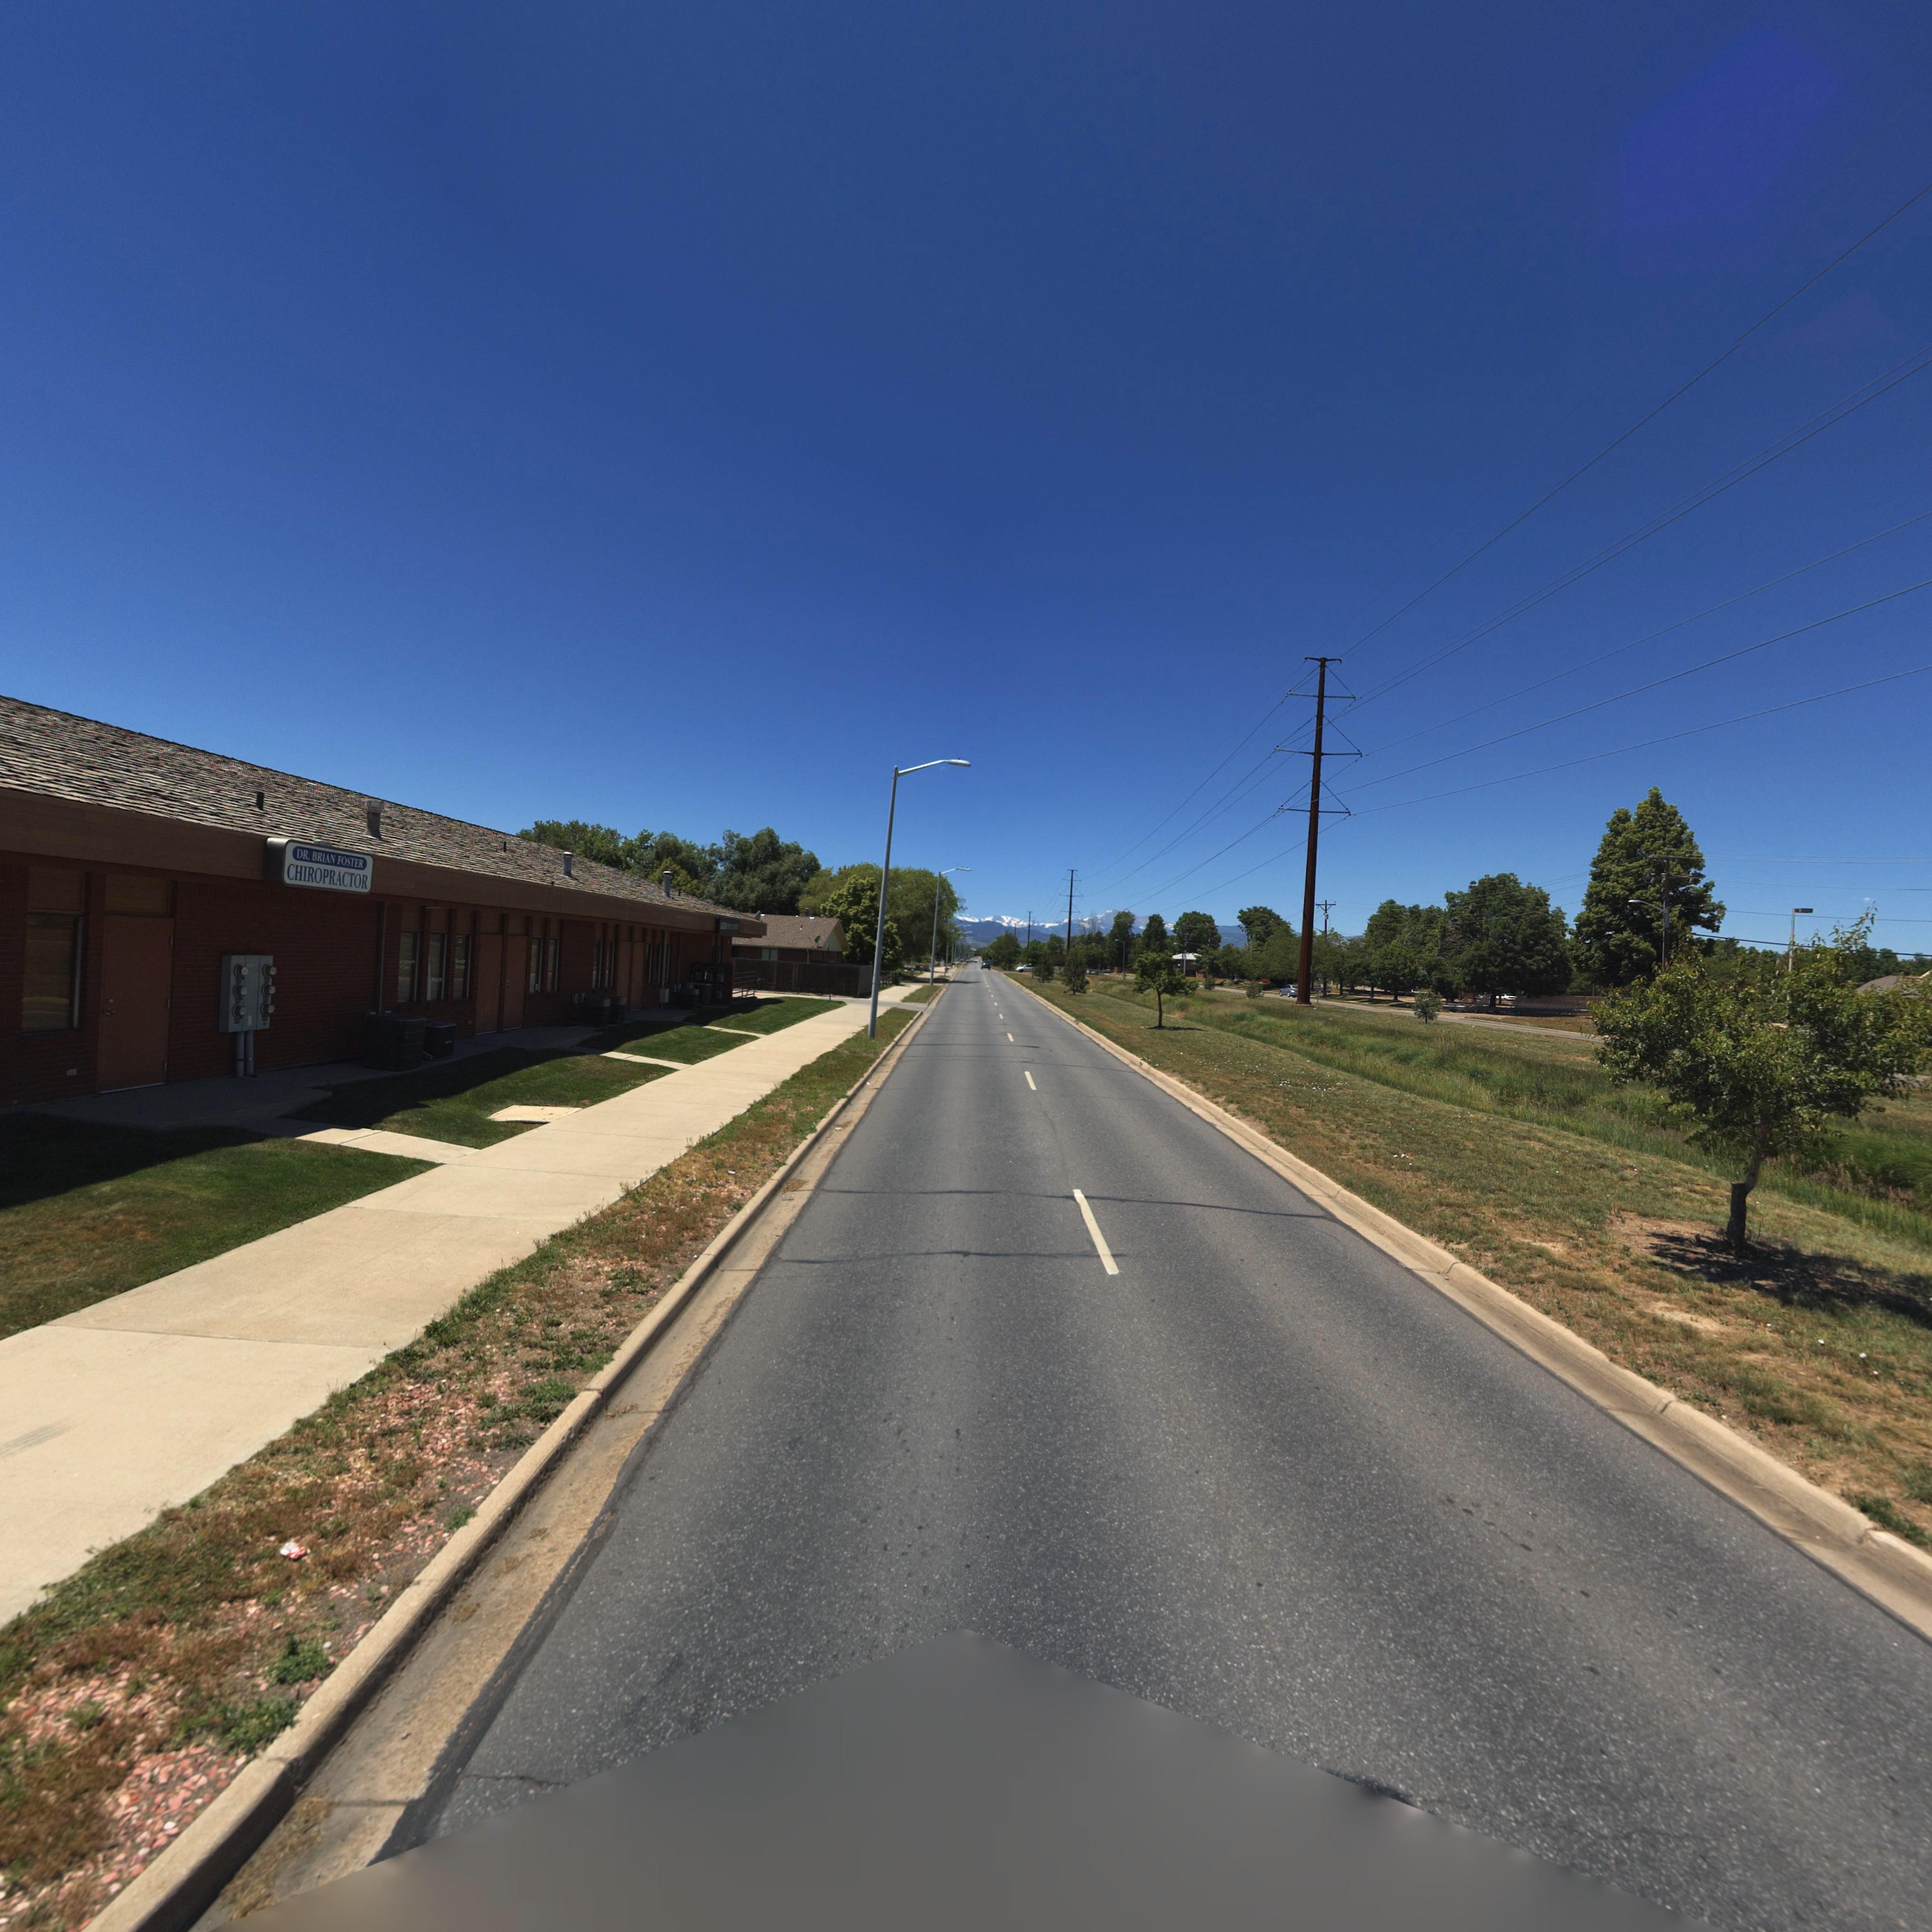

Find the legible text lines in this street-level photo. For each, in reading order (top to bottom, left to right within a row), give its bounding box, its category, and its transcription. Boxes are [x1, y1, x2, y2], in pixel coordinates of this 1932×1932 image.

[295, 847, 364, 869] BusinessName: DR. BRIAN FOSTER
[286, 862, 368, 890] BusinessName: CHIROPRACTOR